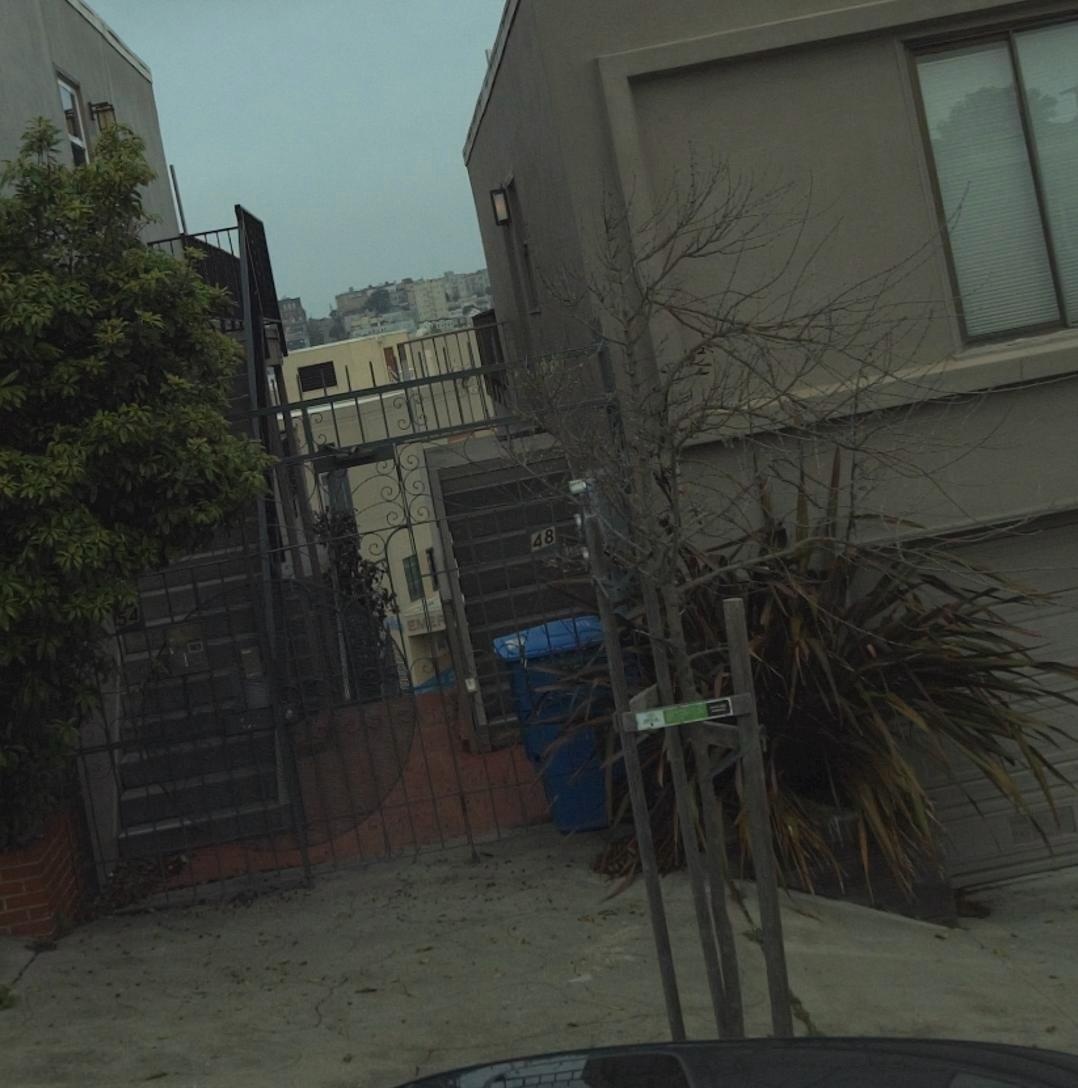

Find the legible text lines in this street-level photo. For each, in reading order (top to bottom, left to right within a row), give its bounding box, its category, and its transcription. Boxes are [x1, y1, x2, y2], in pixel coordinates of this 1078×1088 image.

[530, 525, 556, 552] StreetNumber: 48